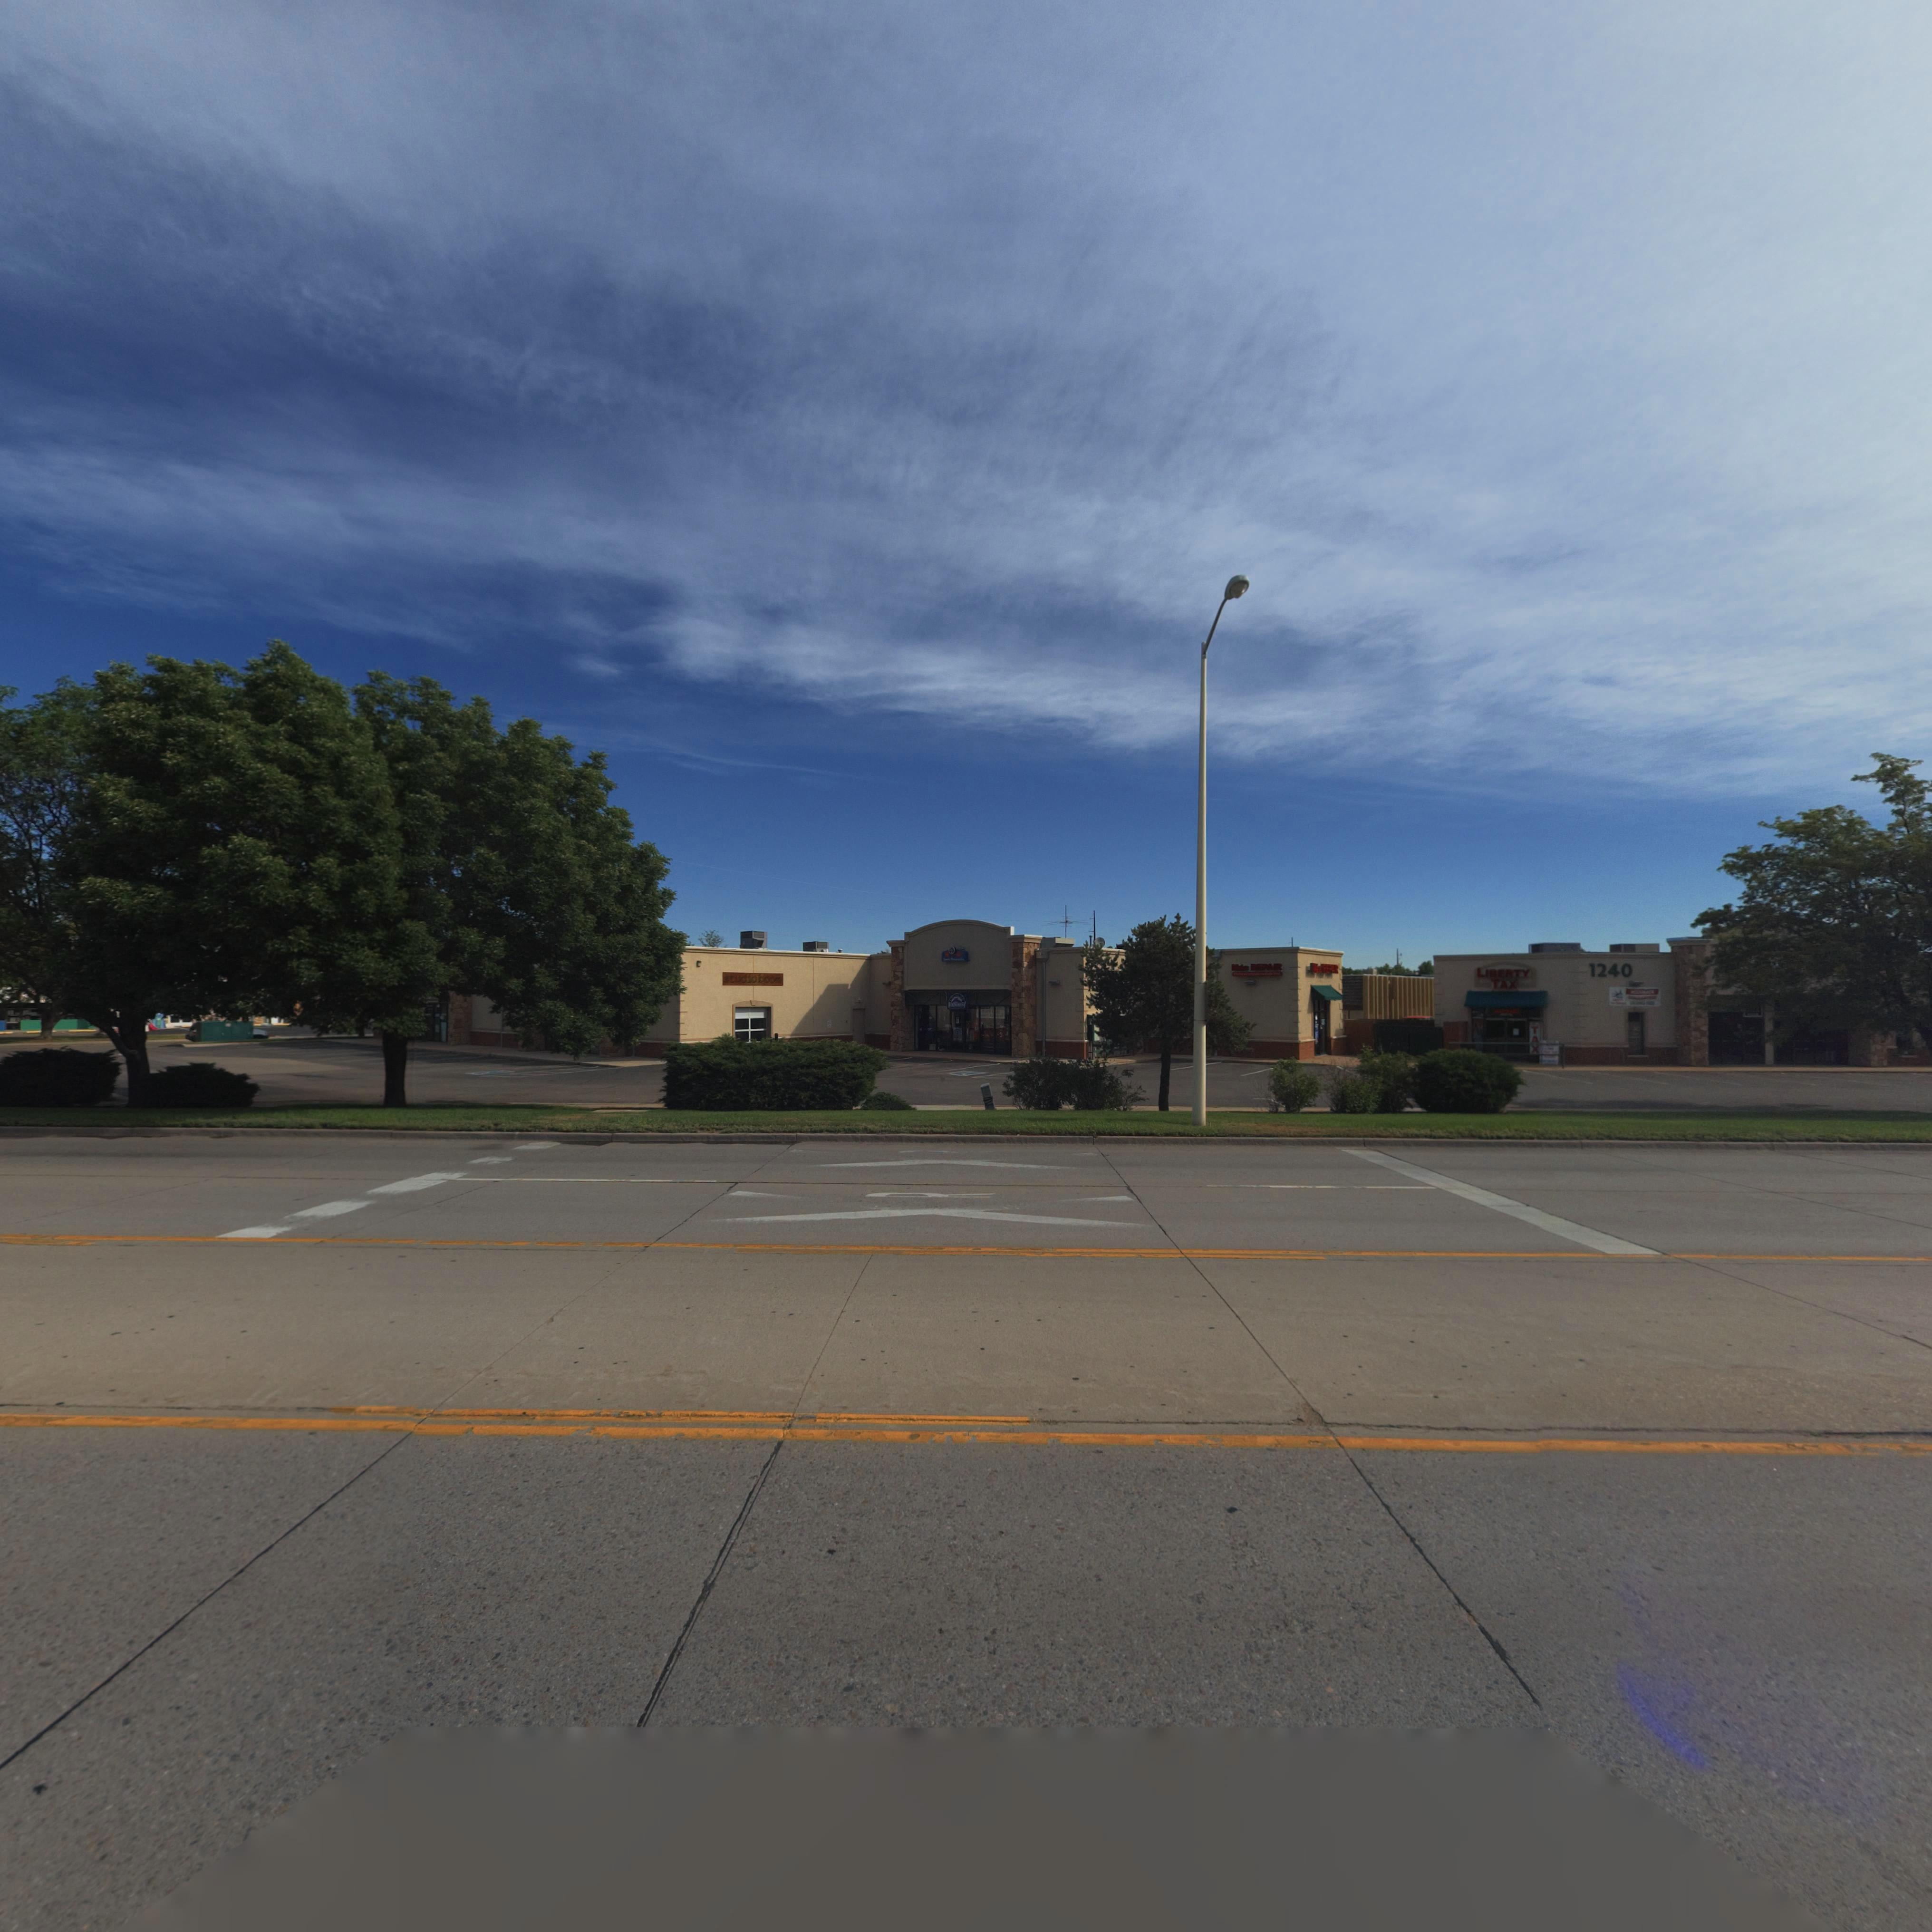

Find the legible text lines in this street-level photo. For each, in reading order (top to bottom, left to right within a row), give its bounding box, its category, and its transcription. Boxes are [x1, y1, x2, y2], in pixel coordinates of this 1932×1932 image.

[956, 951, 963, 957] BusinessName: D
[1231, 962, 1283, 971] BusinessName: M*ic RREPAIR
[1322, 964, 1338, 973] BusinessName: *EP**R
[1477, 967, 1530, 977] BusinessName: LIBERTY
[1589, 963, 1633, 977] StreetNumber: 1240
[723, 974, 781, 984] BusinessName: studio boom
[1490, 978, 1517, 989] BusinessName: TAX
[1531, 1026, 1539, 1053] BusinessName: TAX